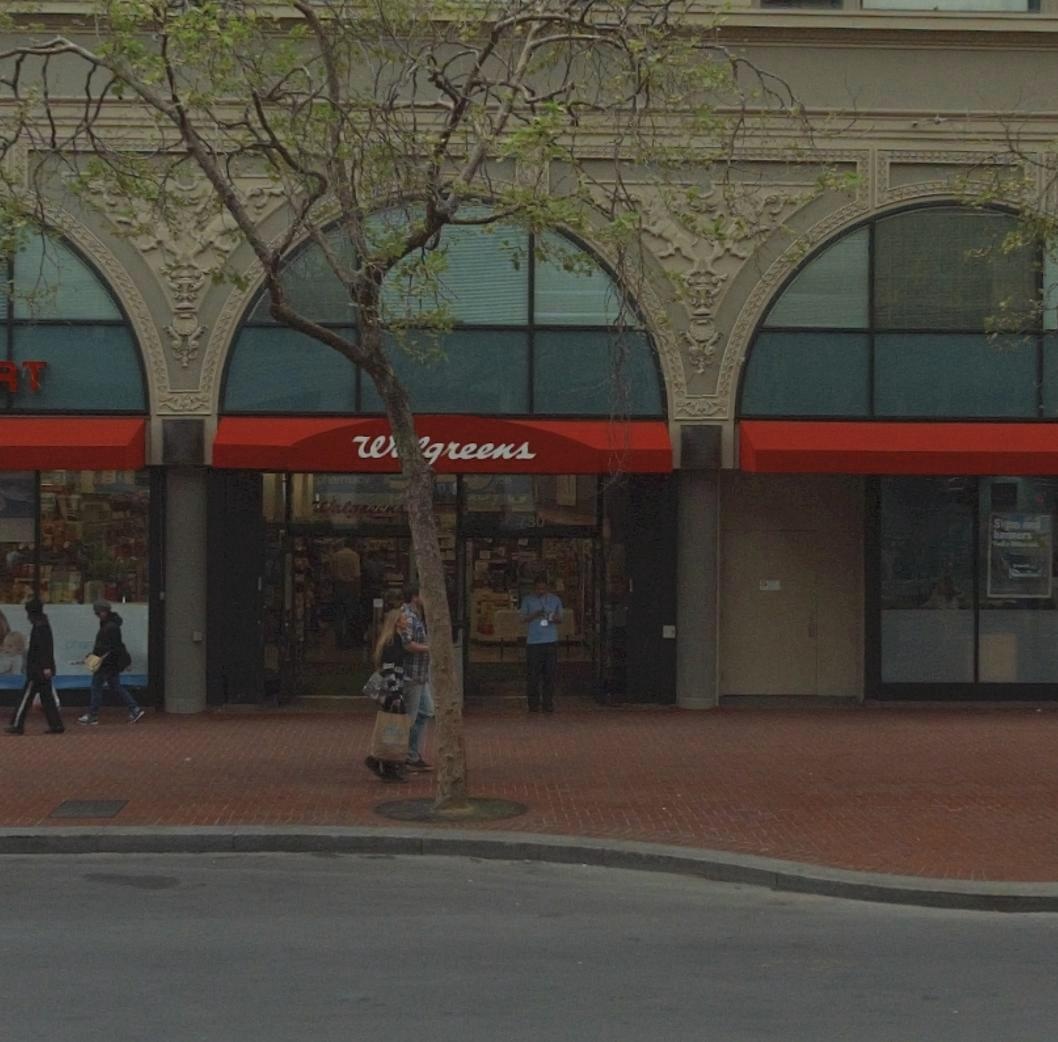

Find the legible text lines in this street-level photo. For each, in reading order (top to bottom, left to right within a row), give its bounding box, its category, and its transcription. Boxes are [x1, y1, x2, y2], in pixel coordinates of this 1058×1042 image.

[21, 360, 49, 393] None: T
[350, 433, 540, 466] BusinessName: W***reens
[309, 499, 408, 520] BusinessName: Walgreens
[517, 515, 545, 528] StreetNumber: 730